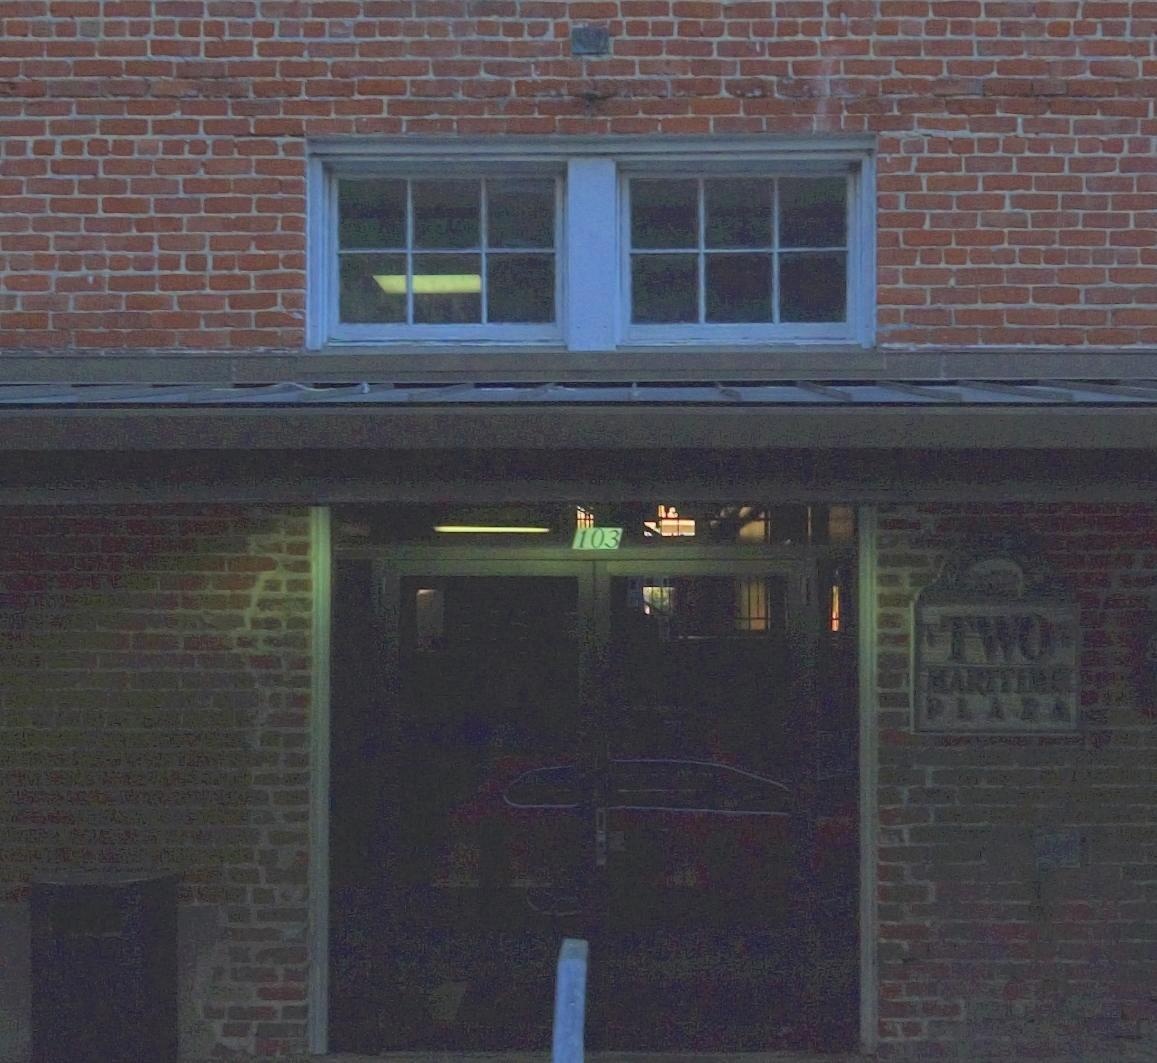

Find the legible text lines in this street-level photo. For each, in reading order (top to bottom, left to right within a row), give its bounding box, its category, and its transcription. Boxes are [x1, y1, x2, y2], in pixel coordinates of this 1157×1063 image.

[575, 527, 622, 551] StreetNumber: 103
[936, 609, 1054, 666] BusinessName: TWO